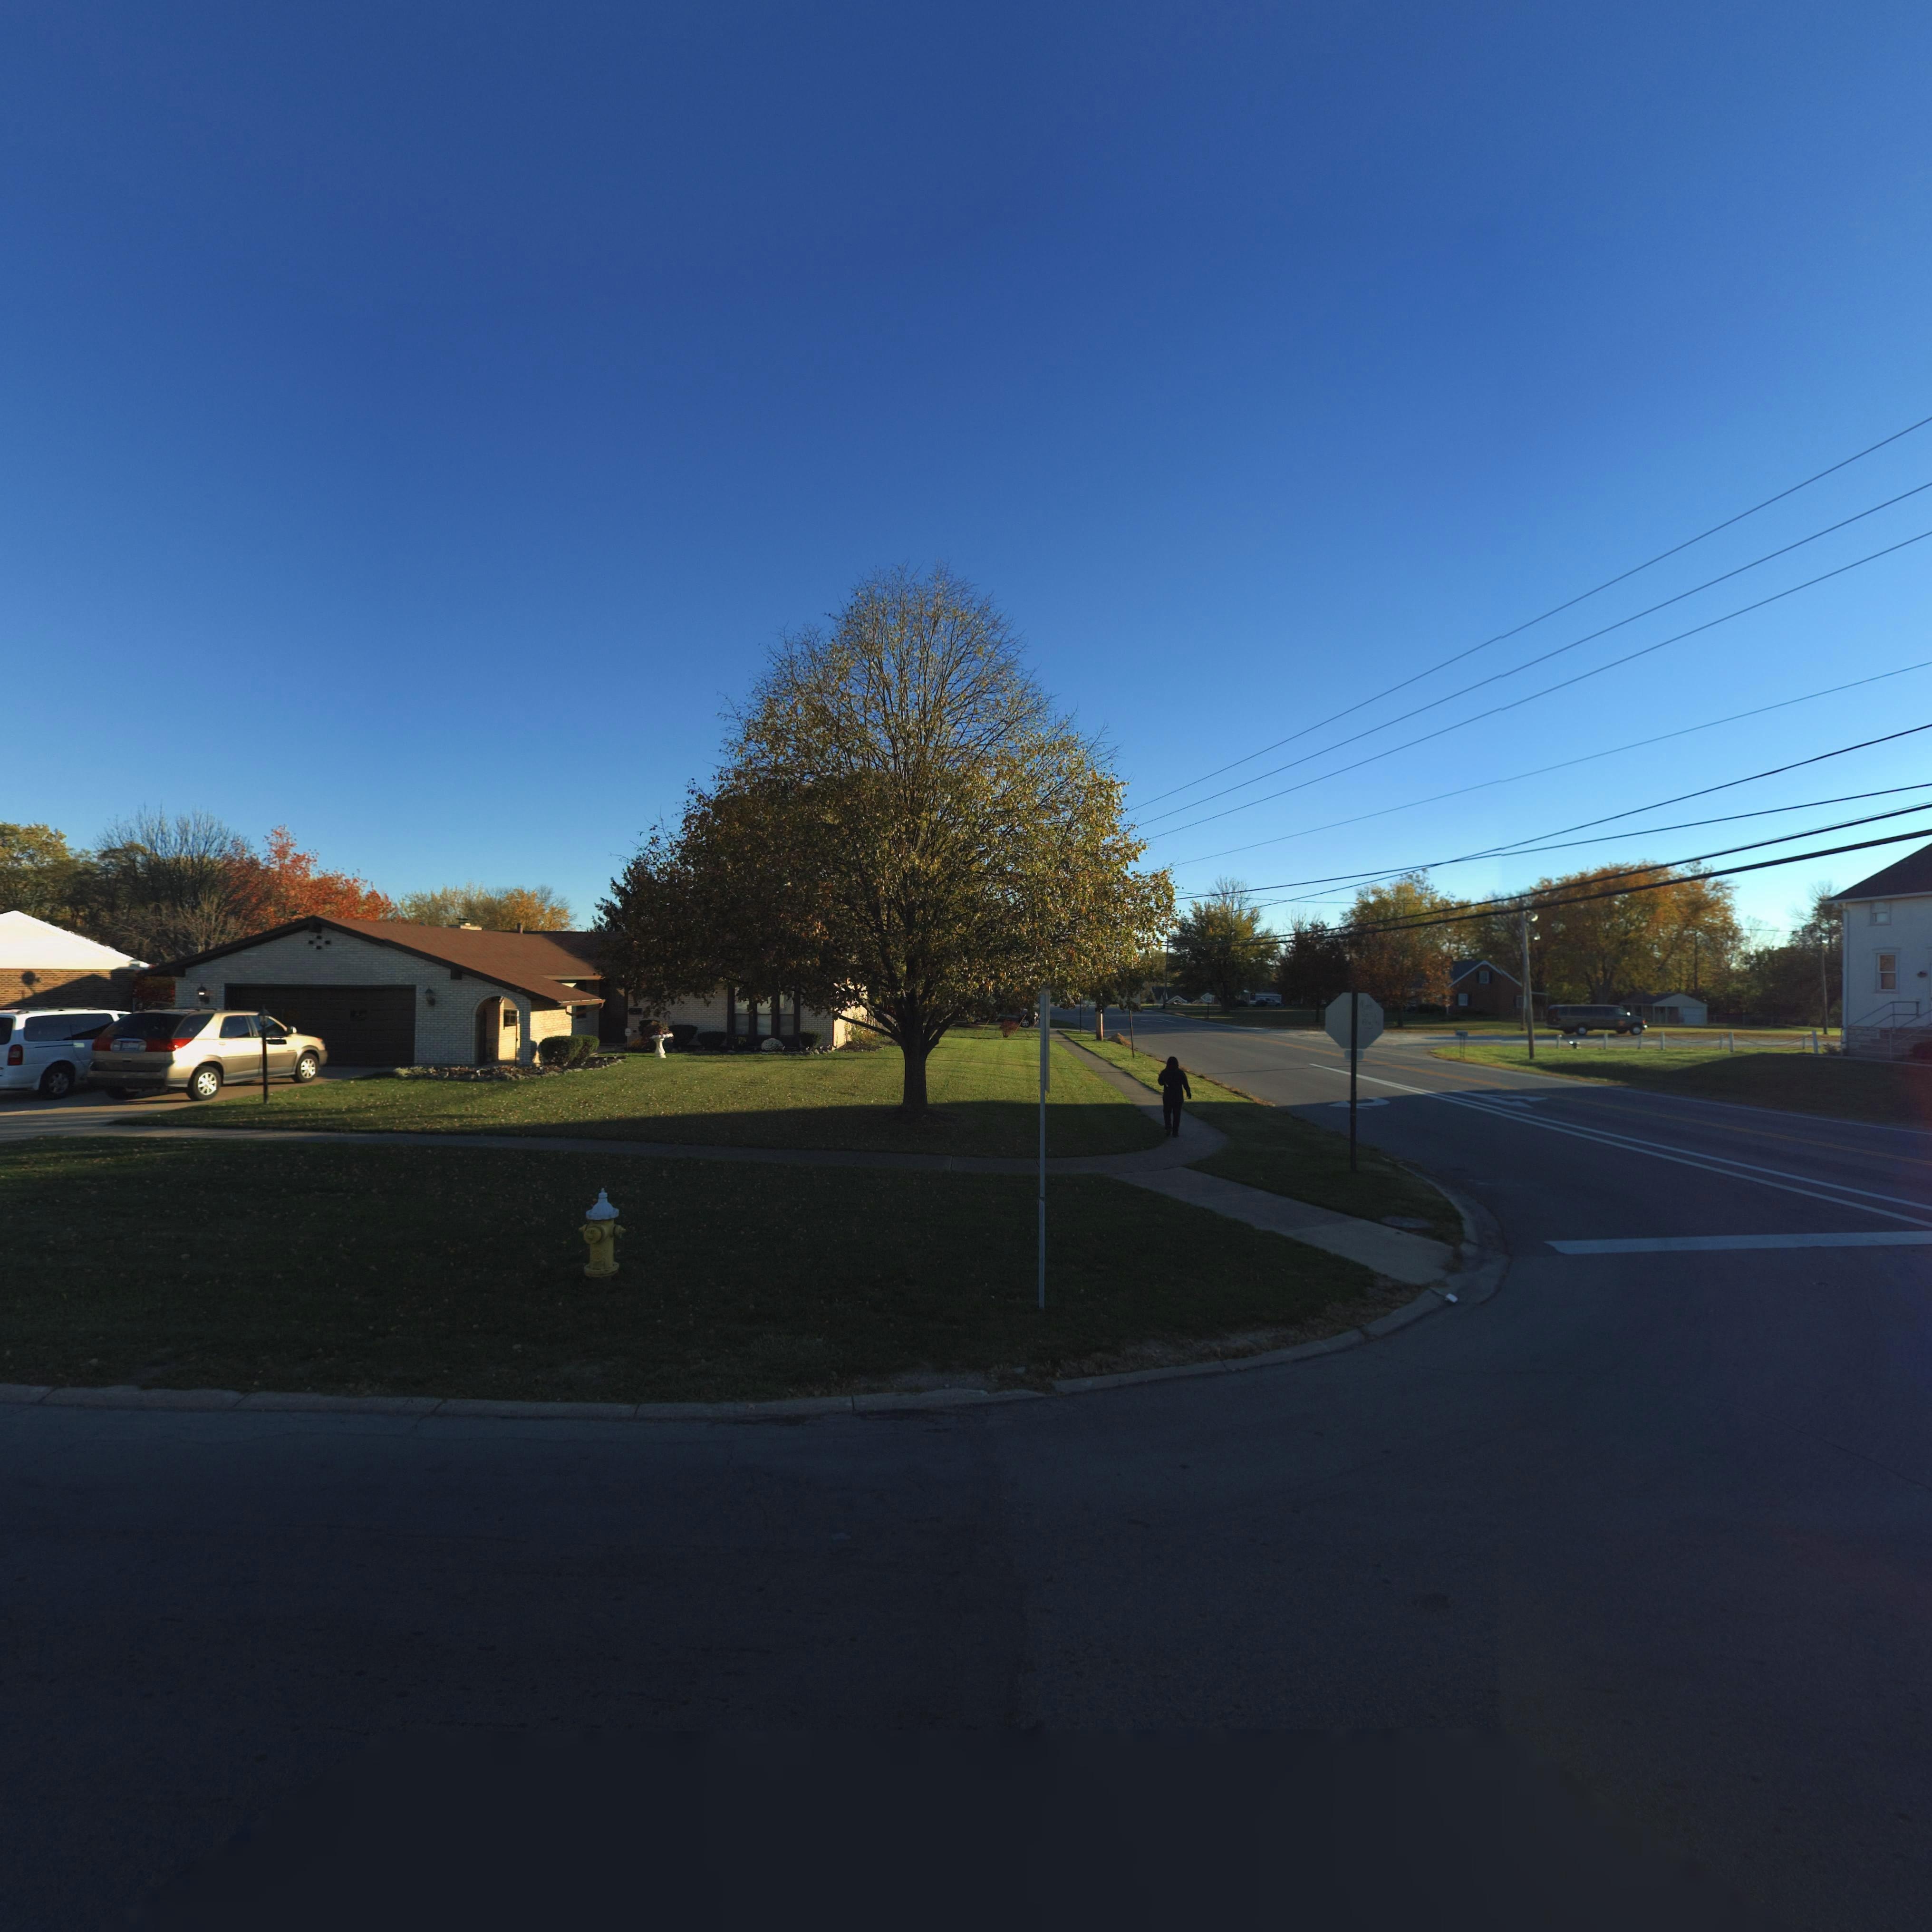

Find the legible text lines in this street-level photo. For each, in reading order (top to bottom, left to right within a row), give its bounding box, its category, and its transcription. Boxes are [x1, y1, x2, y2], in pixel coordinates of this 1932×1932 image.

[276, 1040, 280, 1044] StreetNumber: 6